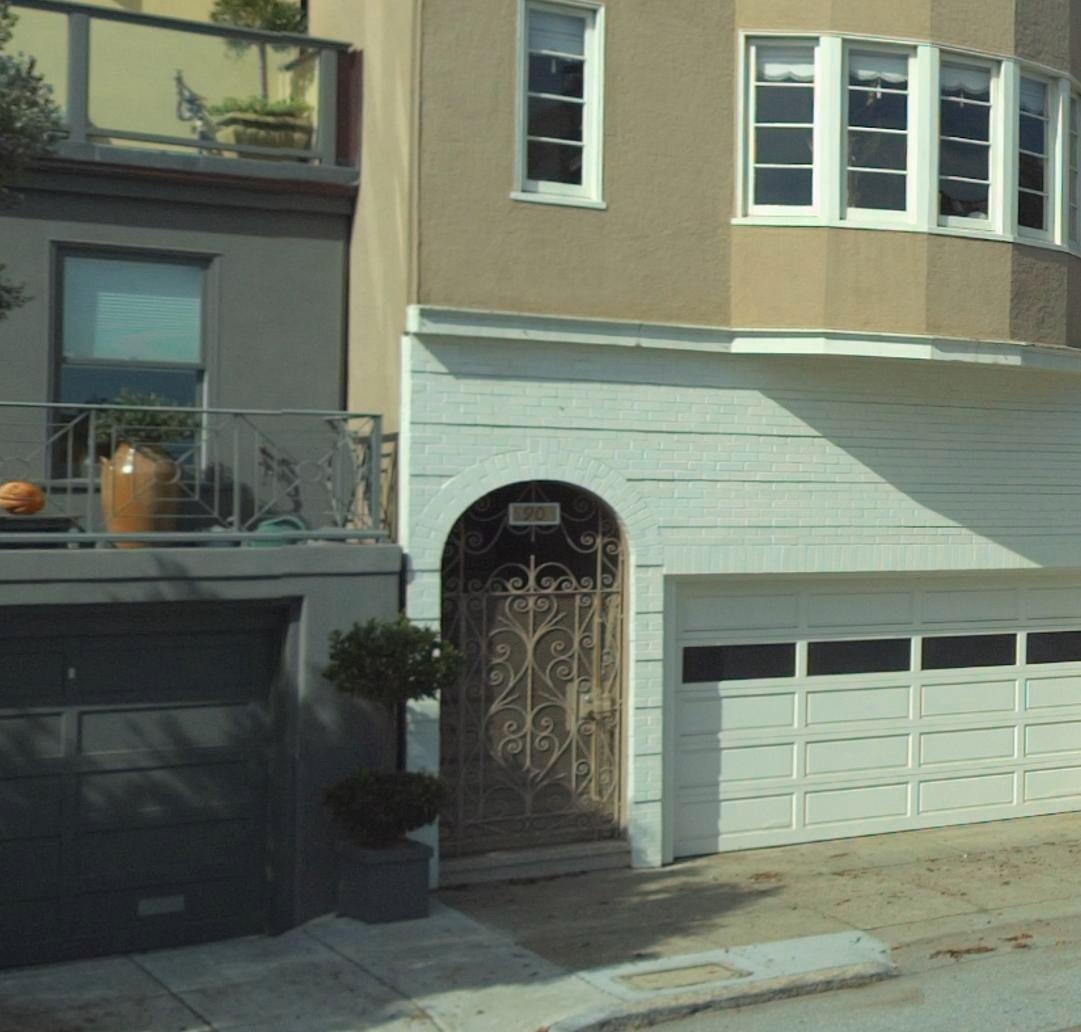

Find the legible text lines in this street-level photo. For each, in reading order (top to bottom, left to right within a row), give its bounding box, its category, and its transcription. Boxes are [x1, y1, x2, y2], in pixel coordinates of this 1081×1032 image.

[521, 506, 547, 522] StreetNumber: 90